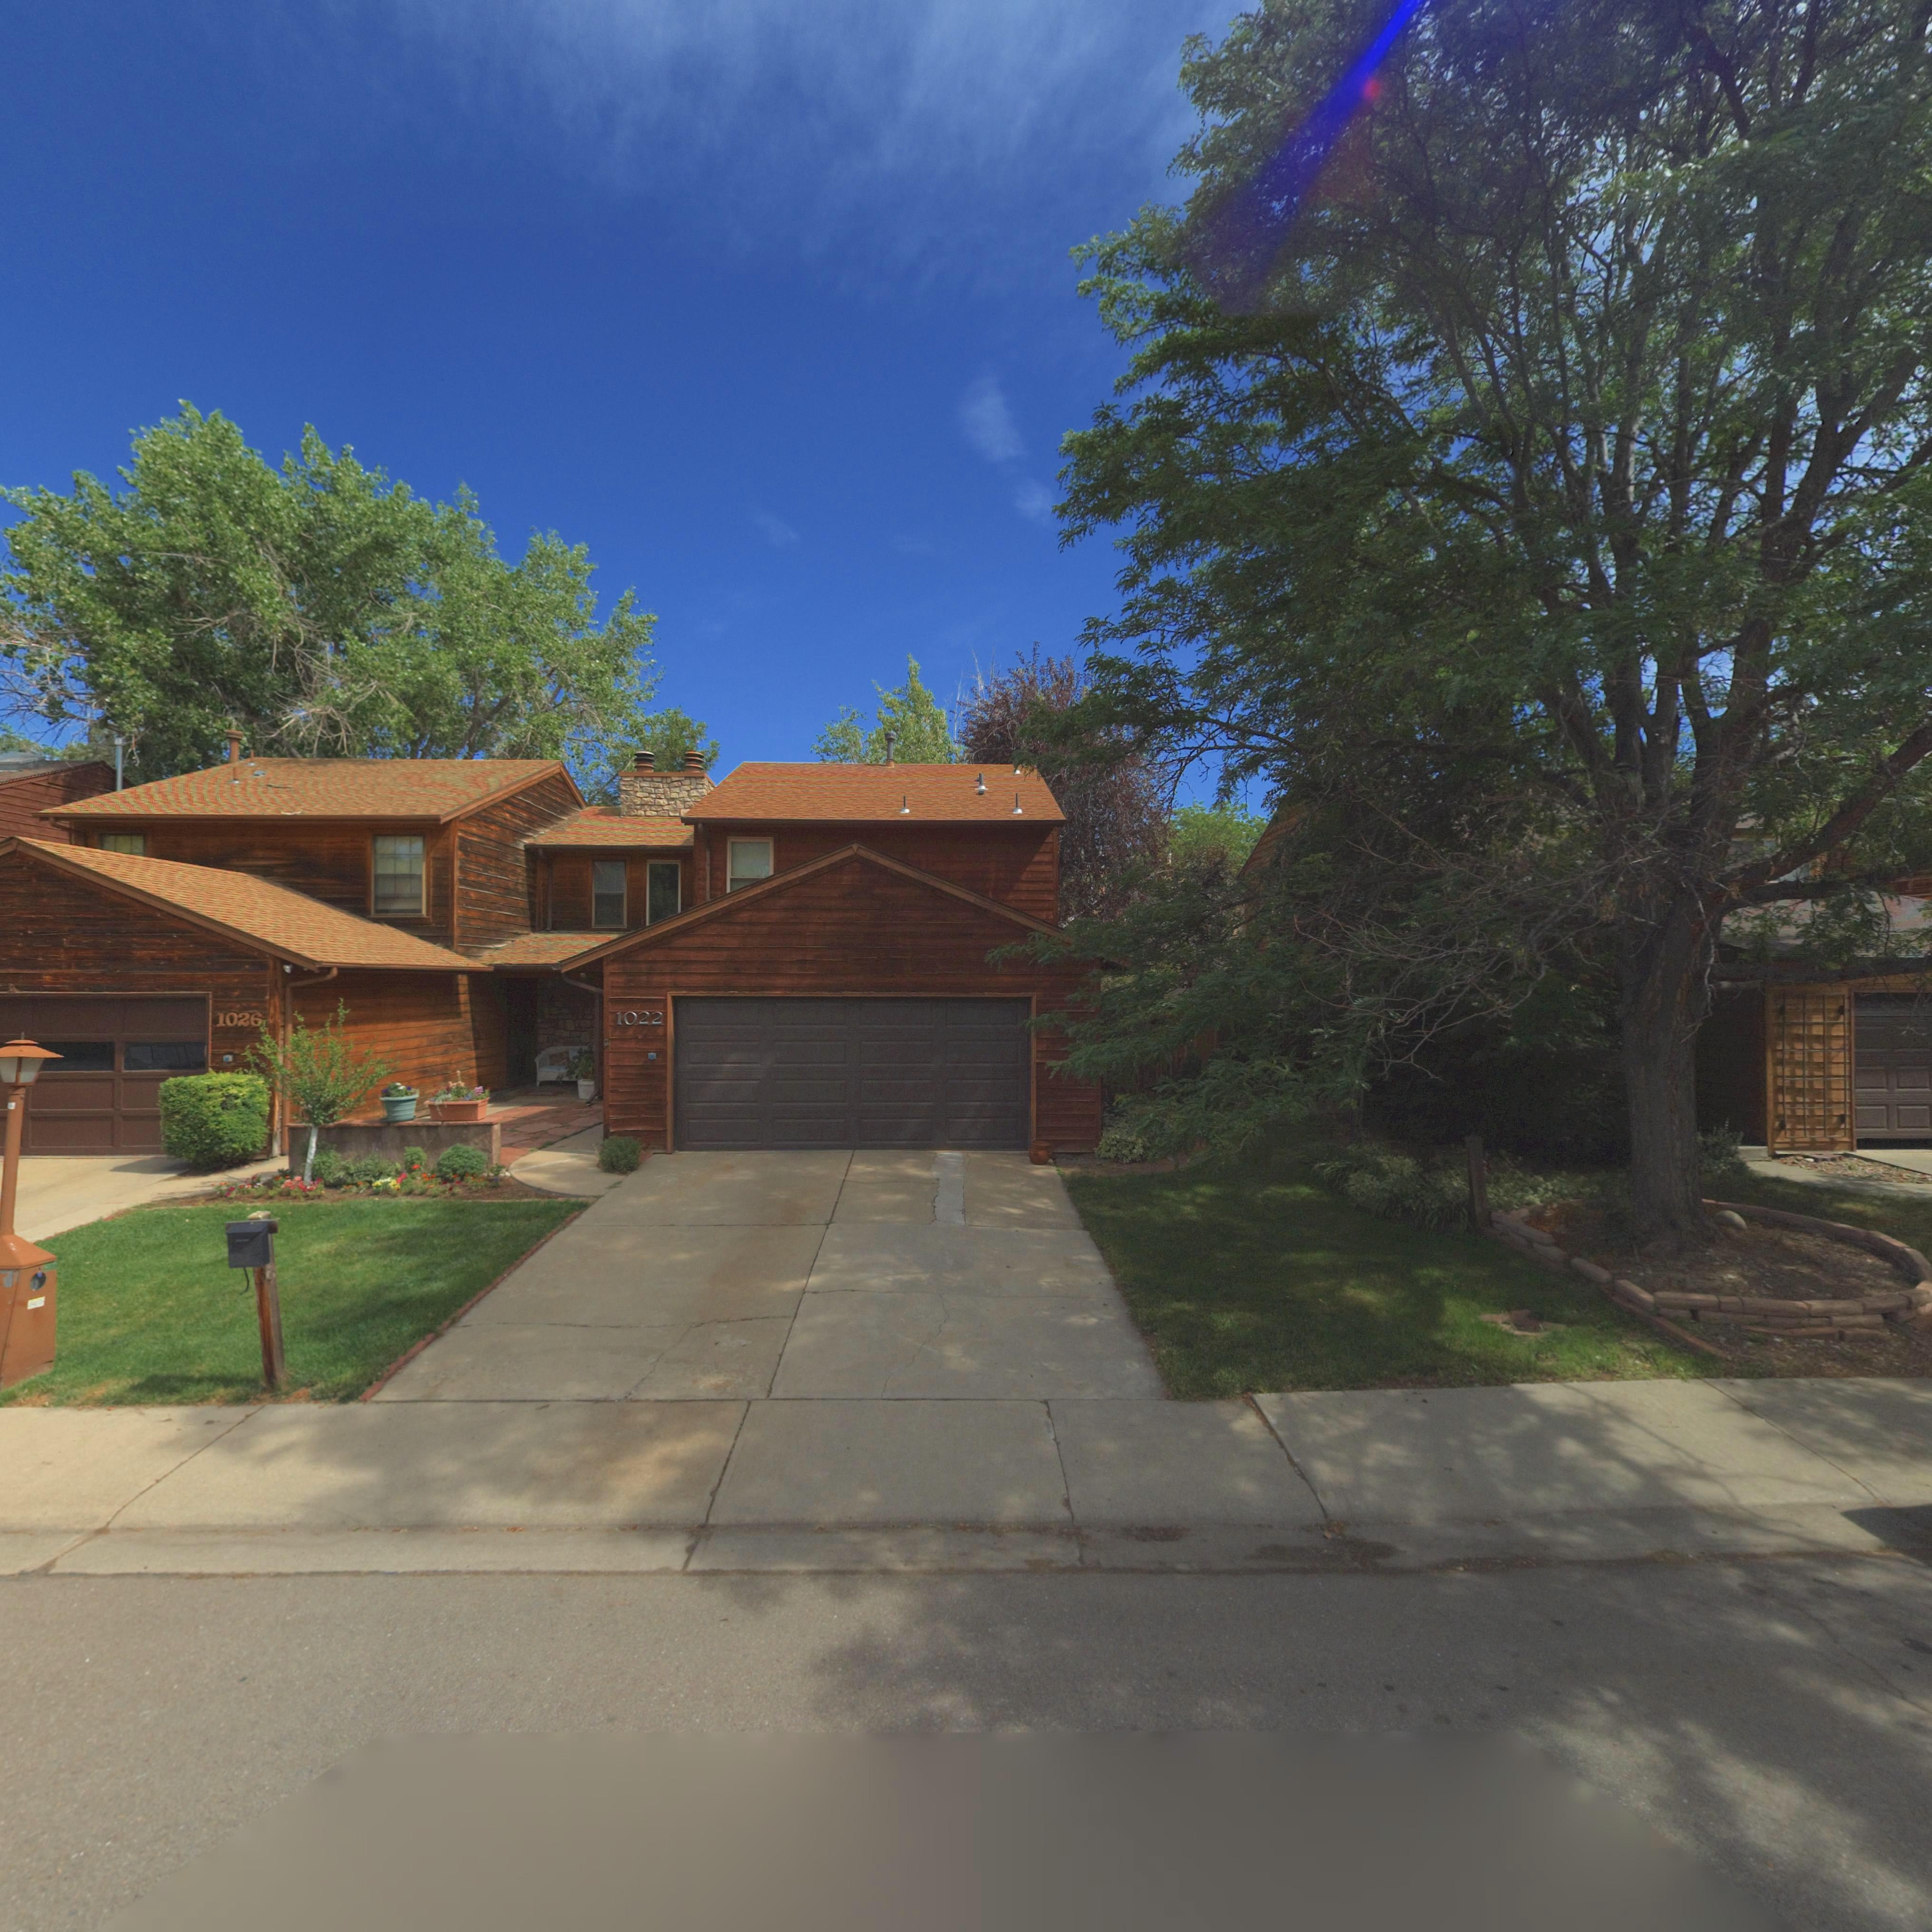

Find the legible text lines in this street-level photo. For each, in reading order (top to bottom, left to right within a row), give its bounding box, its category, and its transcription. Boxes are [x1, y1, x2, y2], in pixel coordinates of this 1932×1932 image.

[216, 1012, 262, 1027] StreetNumber: 1026
[615, 1011, 663, 1026] StreetNumber: 1022